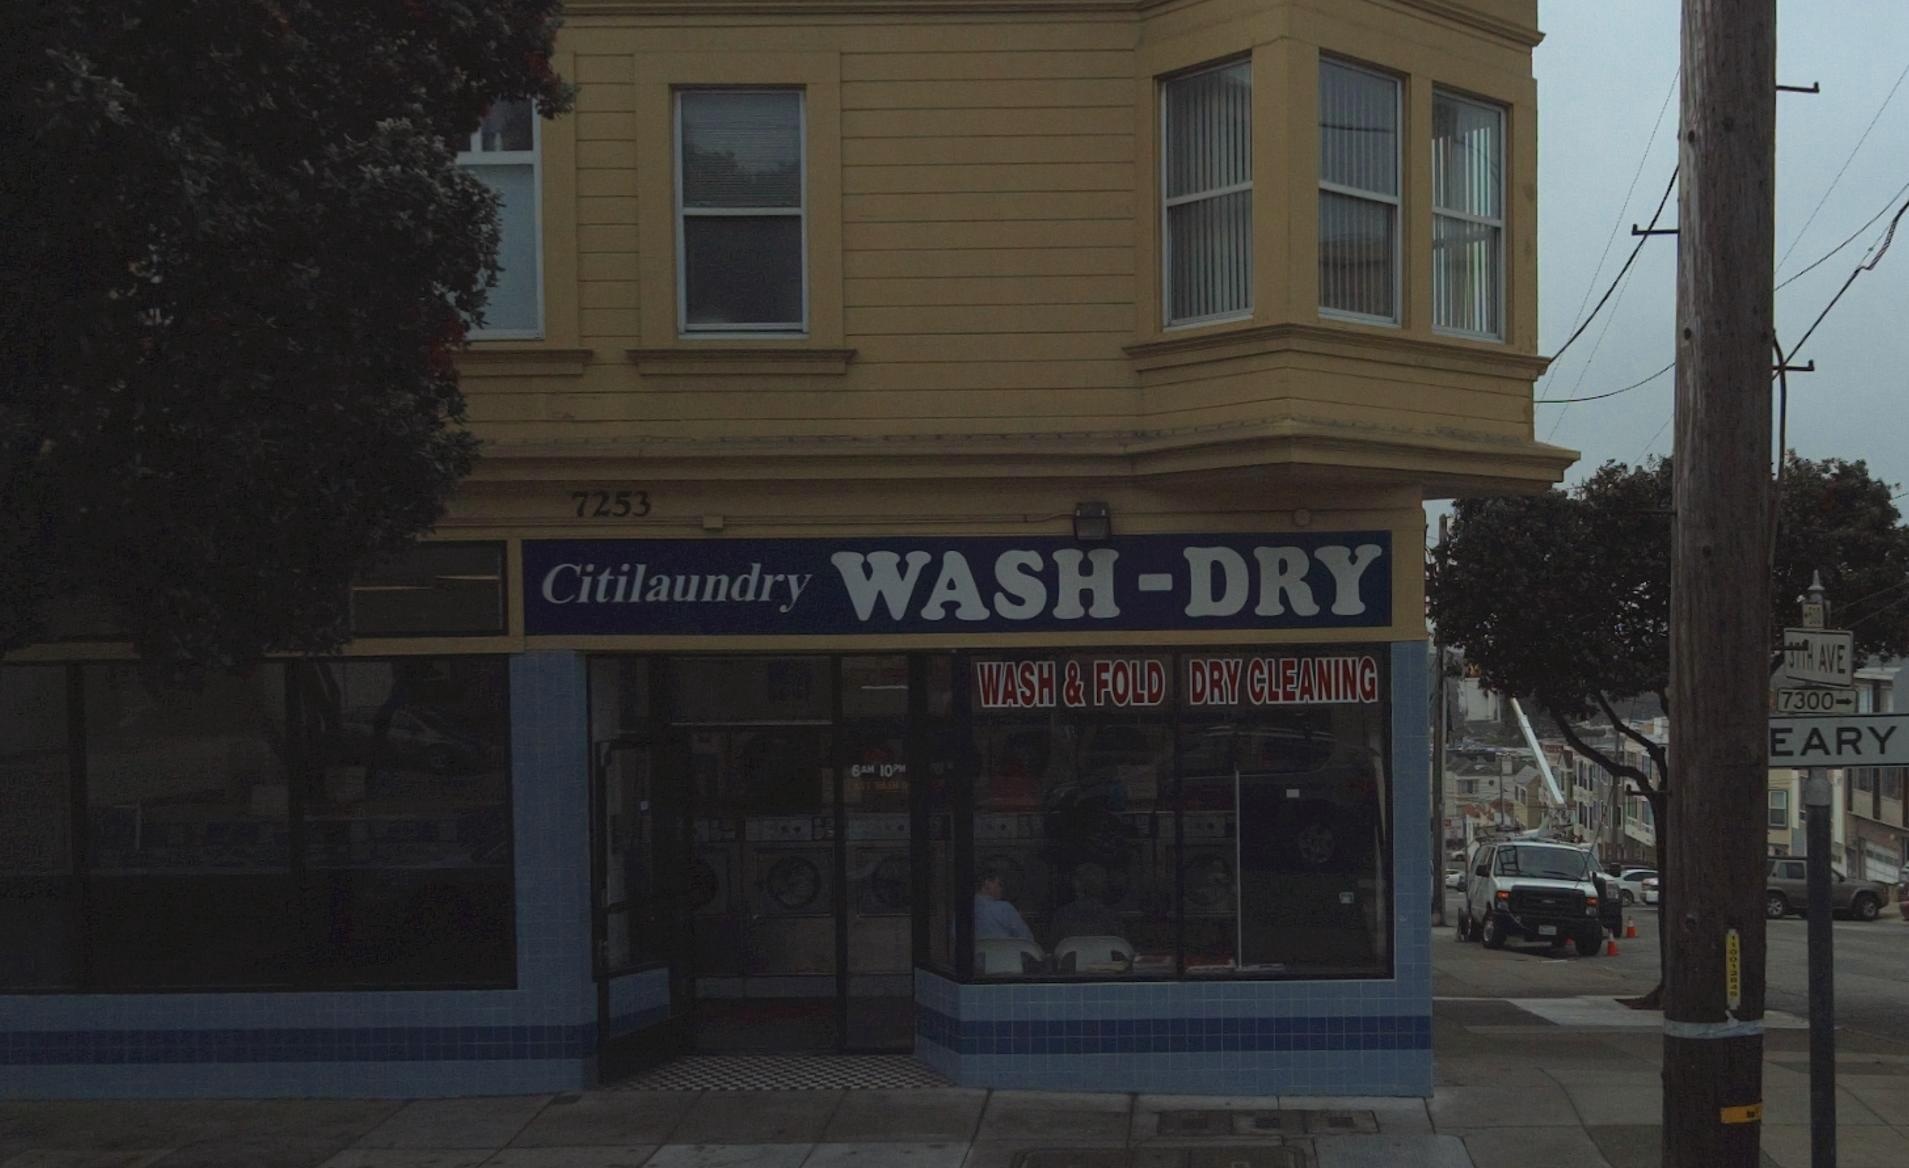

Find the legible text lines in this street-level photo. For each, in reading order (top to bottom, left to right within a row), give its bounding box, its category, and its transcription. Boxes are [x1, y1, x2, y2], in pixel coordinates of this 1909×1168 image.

[566, 482, 652, 523] StreetNumber: 7253
[533, 539, 1386, 623] BusinessName: Citilaundry WASH-DRY
[1783, 635, 1850, 682] StreetName: 37TH AVE
[968, 651, 1381, 714] None: WASH & FOLD DRY CLEANING
[1776, 689, 1860, 716] StreetNumberRange: 7300->
[1764, 720, 1904, 766] StreetName: EARY
[847, 760, 909, 780] None: 6AM 10PM
[1725, 932, 1739, 1001] None: 110013849